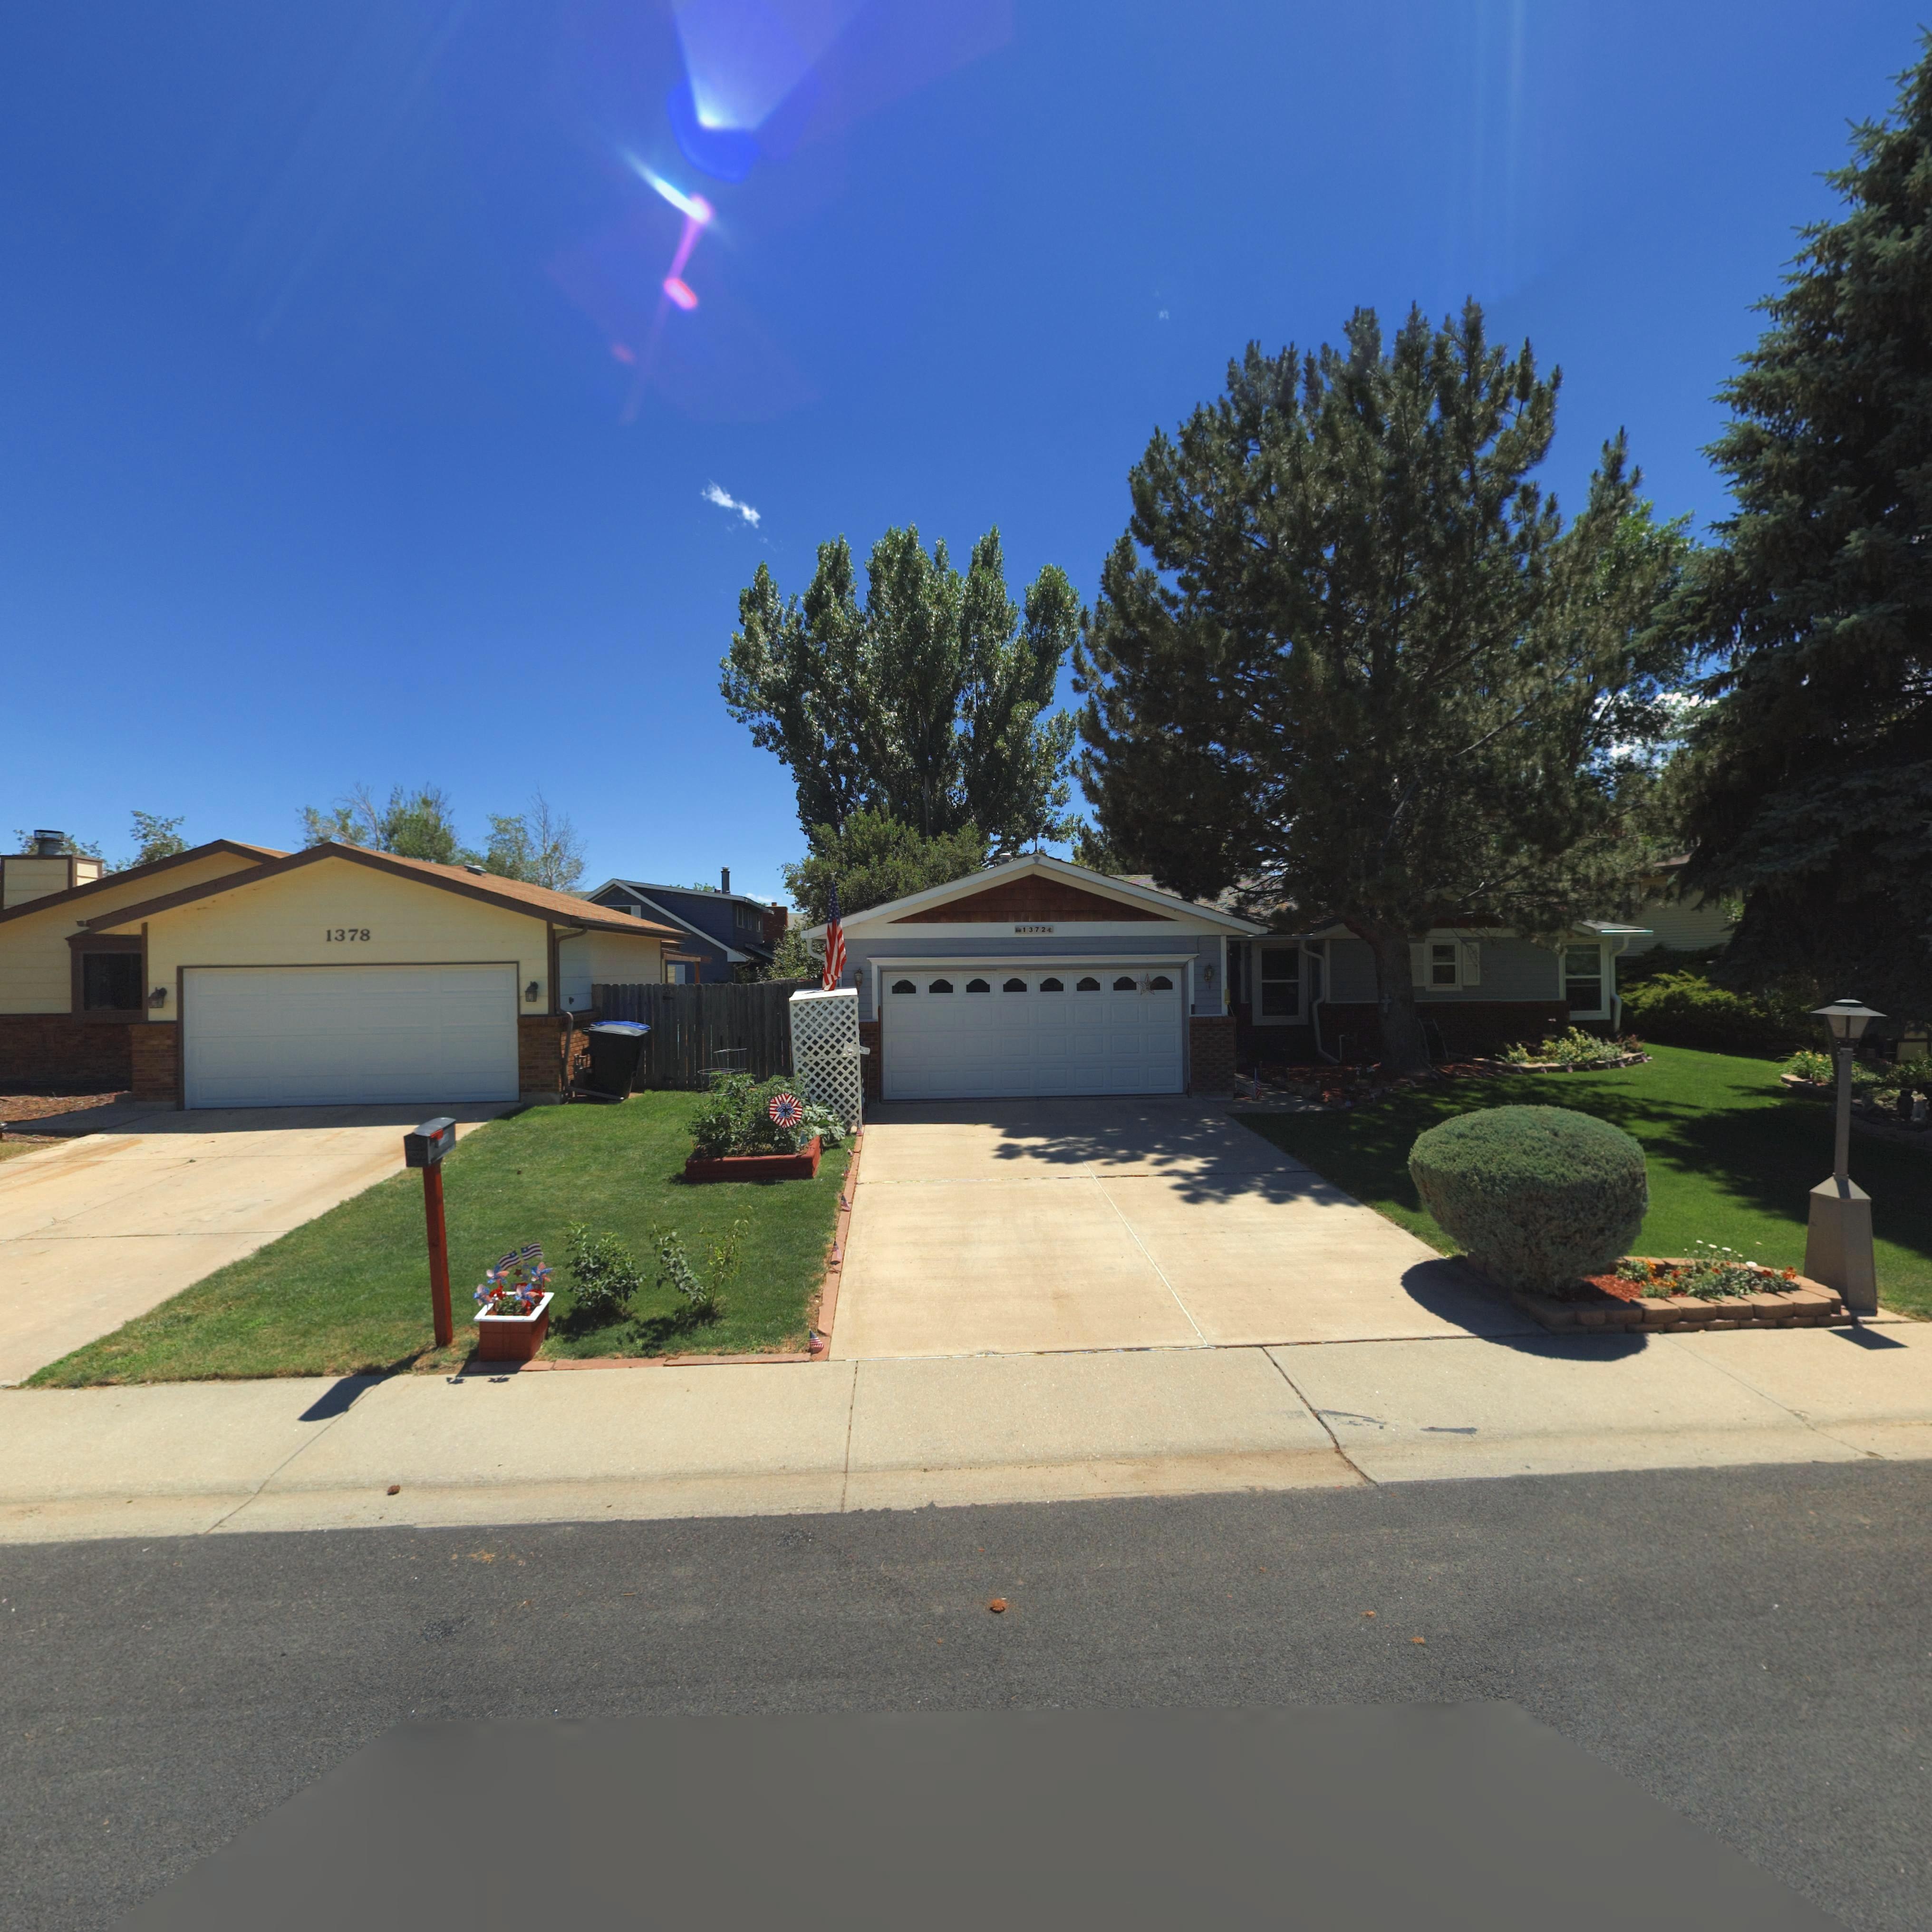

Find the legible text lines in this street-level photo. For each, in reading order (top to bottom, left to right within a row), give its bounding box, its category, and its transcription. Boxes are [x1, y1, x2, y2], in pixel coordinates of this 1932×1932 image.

[326, 928, 370, 942] StreetNumber: 1378
[1023, 927, 1045, 932] StreetNumber: 1372